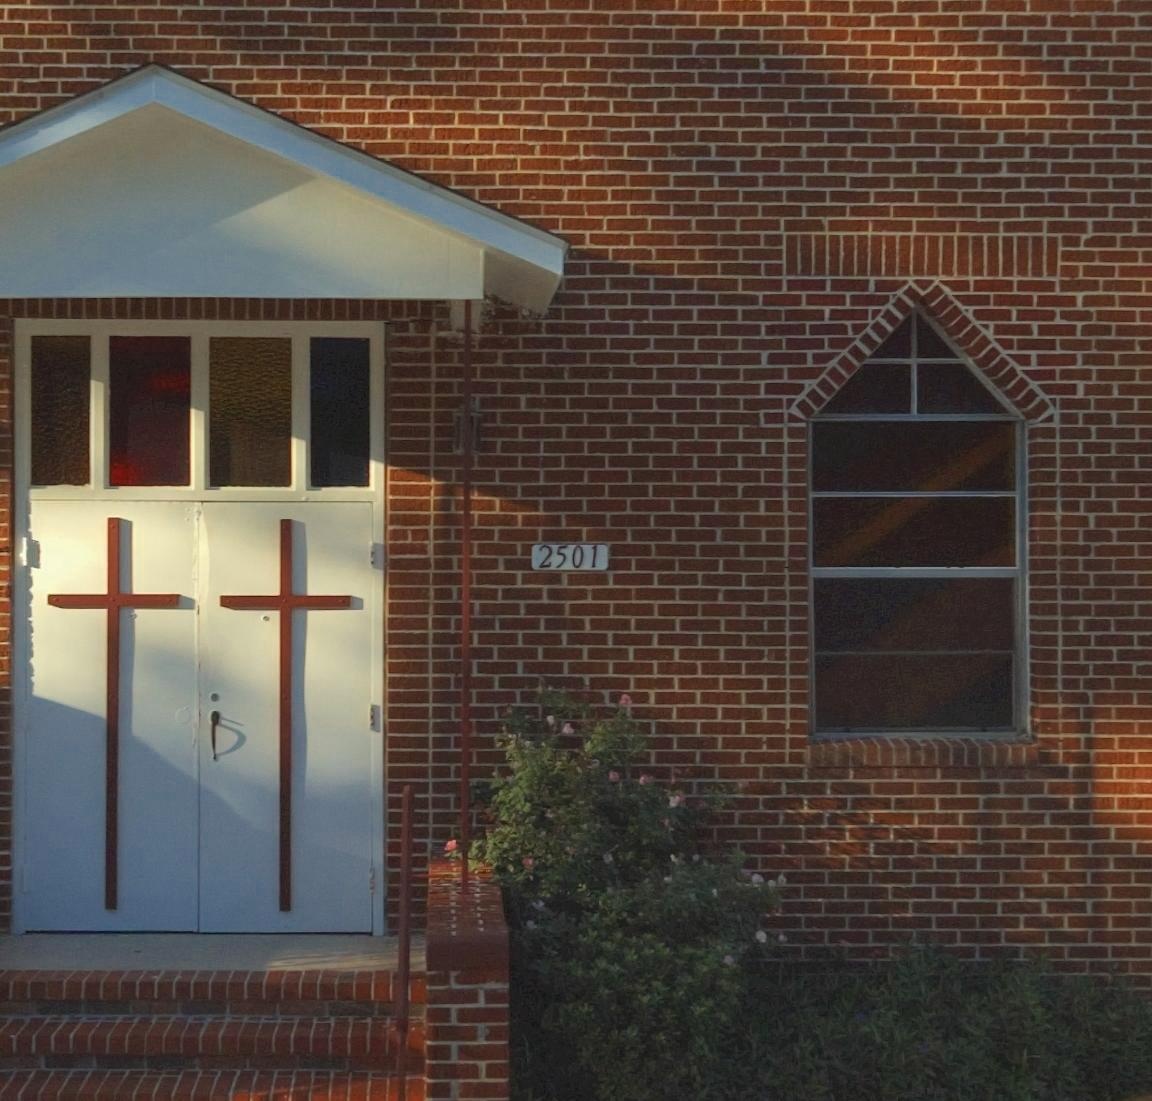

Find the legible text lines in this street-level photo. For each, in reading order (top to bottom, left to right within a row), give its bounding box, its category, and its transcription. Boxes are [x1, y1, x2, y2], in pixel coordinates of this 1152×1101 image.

[537, 543, 600, 570] StreetNumber: 2501